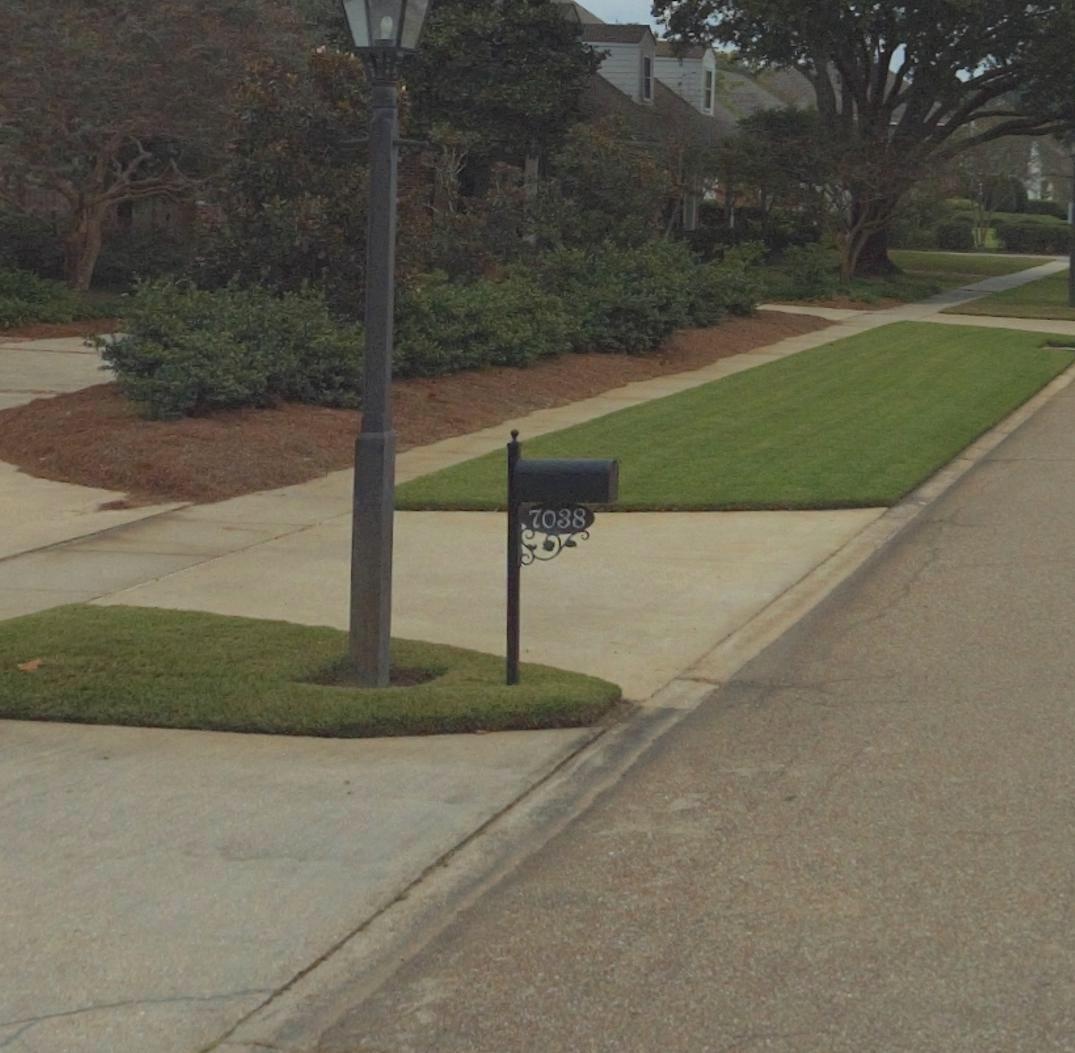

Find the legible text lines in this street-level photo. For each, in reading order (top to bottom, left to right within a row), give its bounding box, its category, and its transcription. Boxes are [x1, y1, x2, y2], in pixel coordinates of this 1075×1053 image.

[527, 507, 588, 531] StreetNumber: 7038